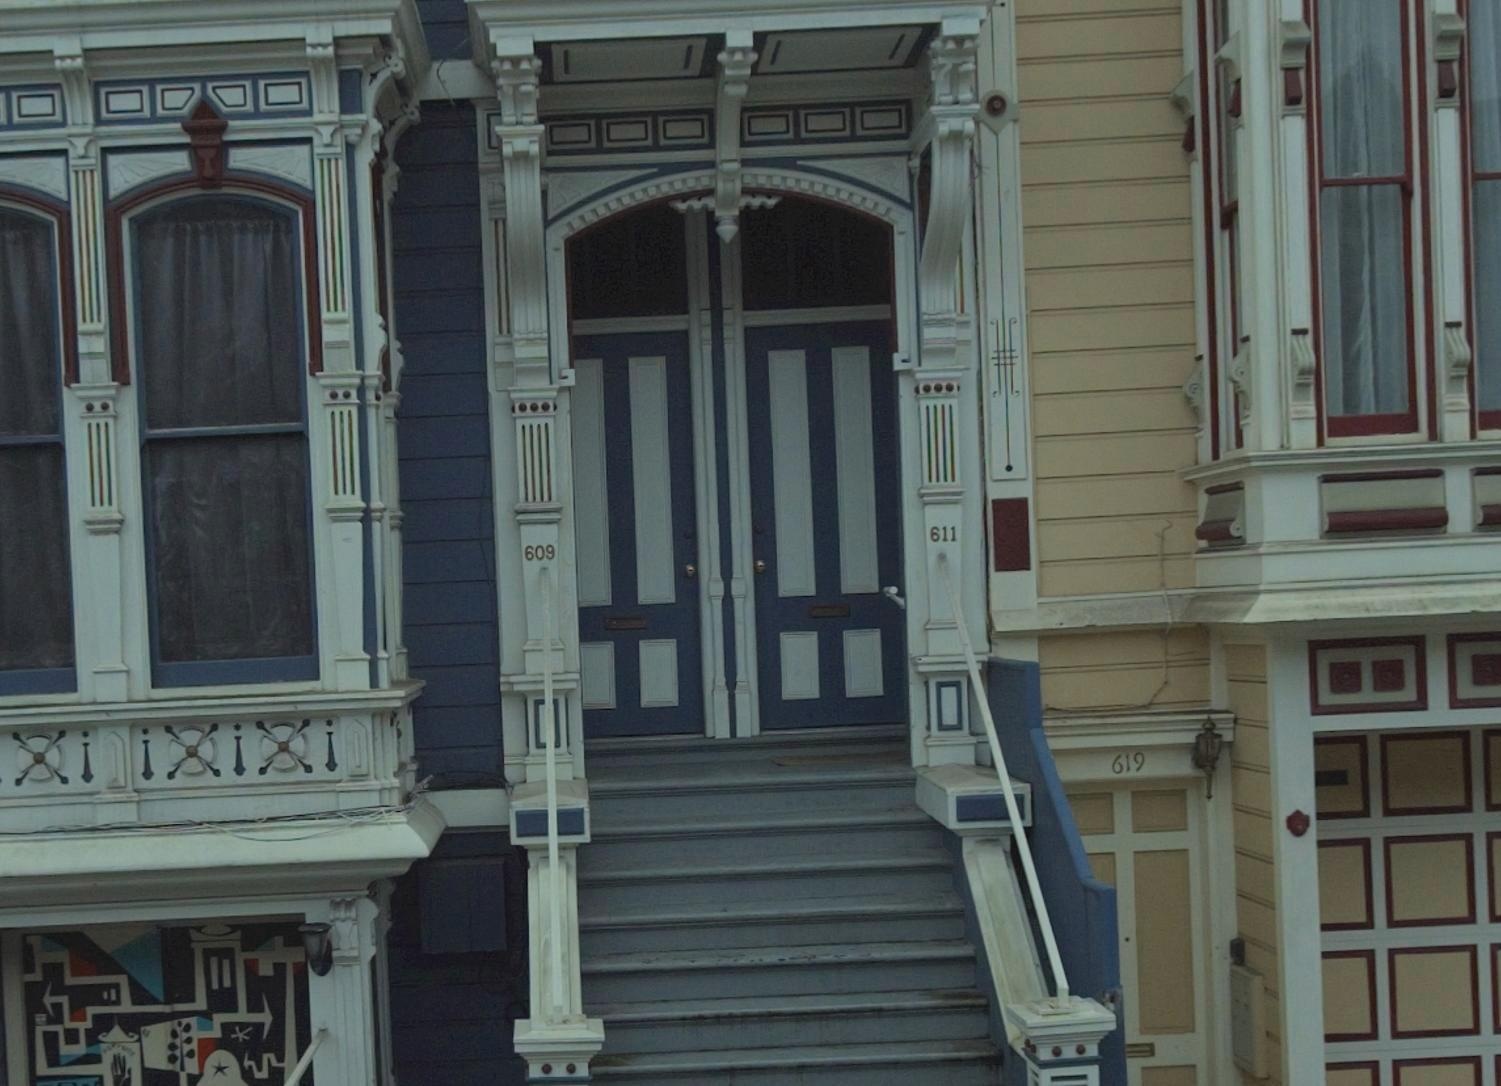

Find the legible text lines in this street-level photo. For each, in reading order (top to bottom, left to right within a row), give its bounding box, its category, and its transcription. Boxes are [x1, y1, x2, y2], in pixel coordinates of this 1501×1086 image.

[928, 523, 959, 545] StreetNumber: 611
[523, 541, 557, 564] StreetNumber: 609
[1108, 749, 1149, 778] StreetNumber: 619